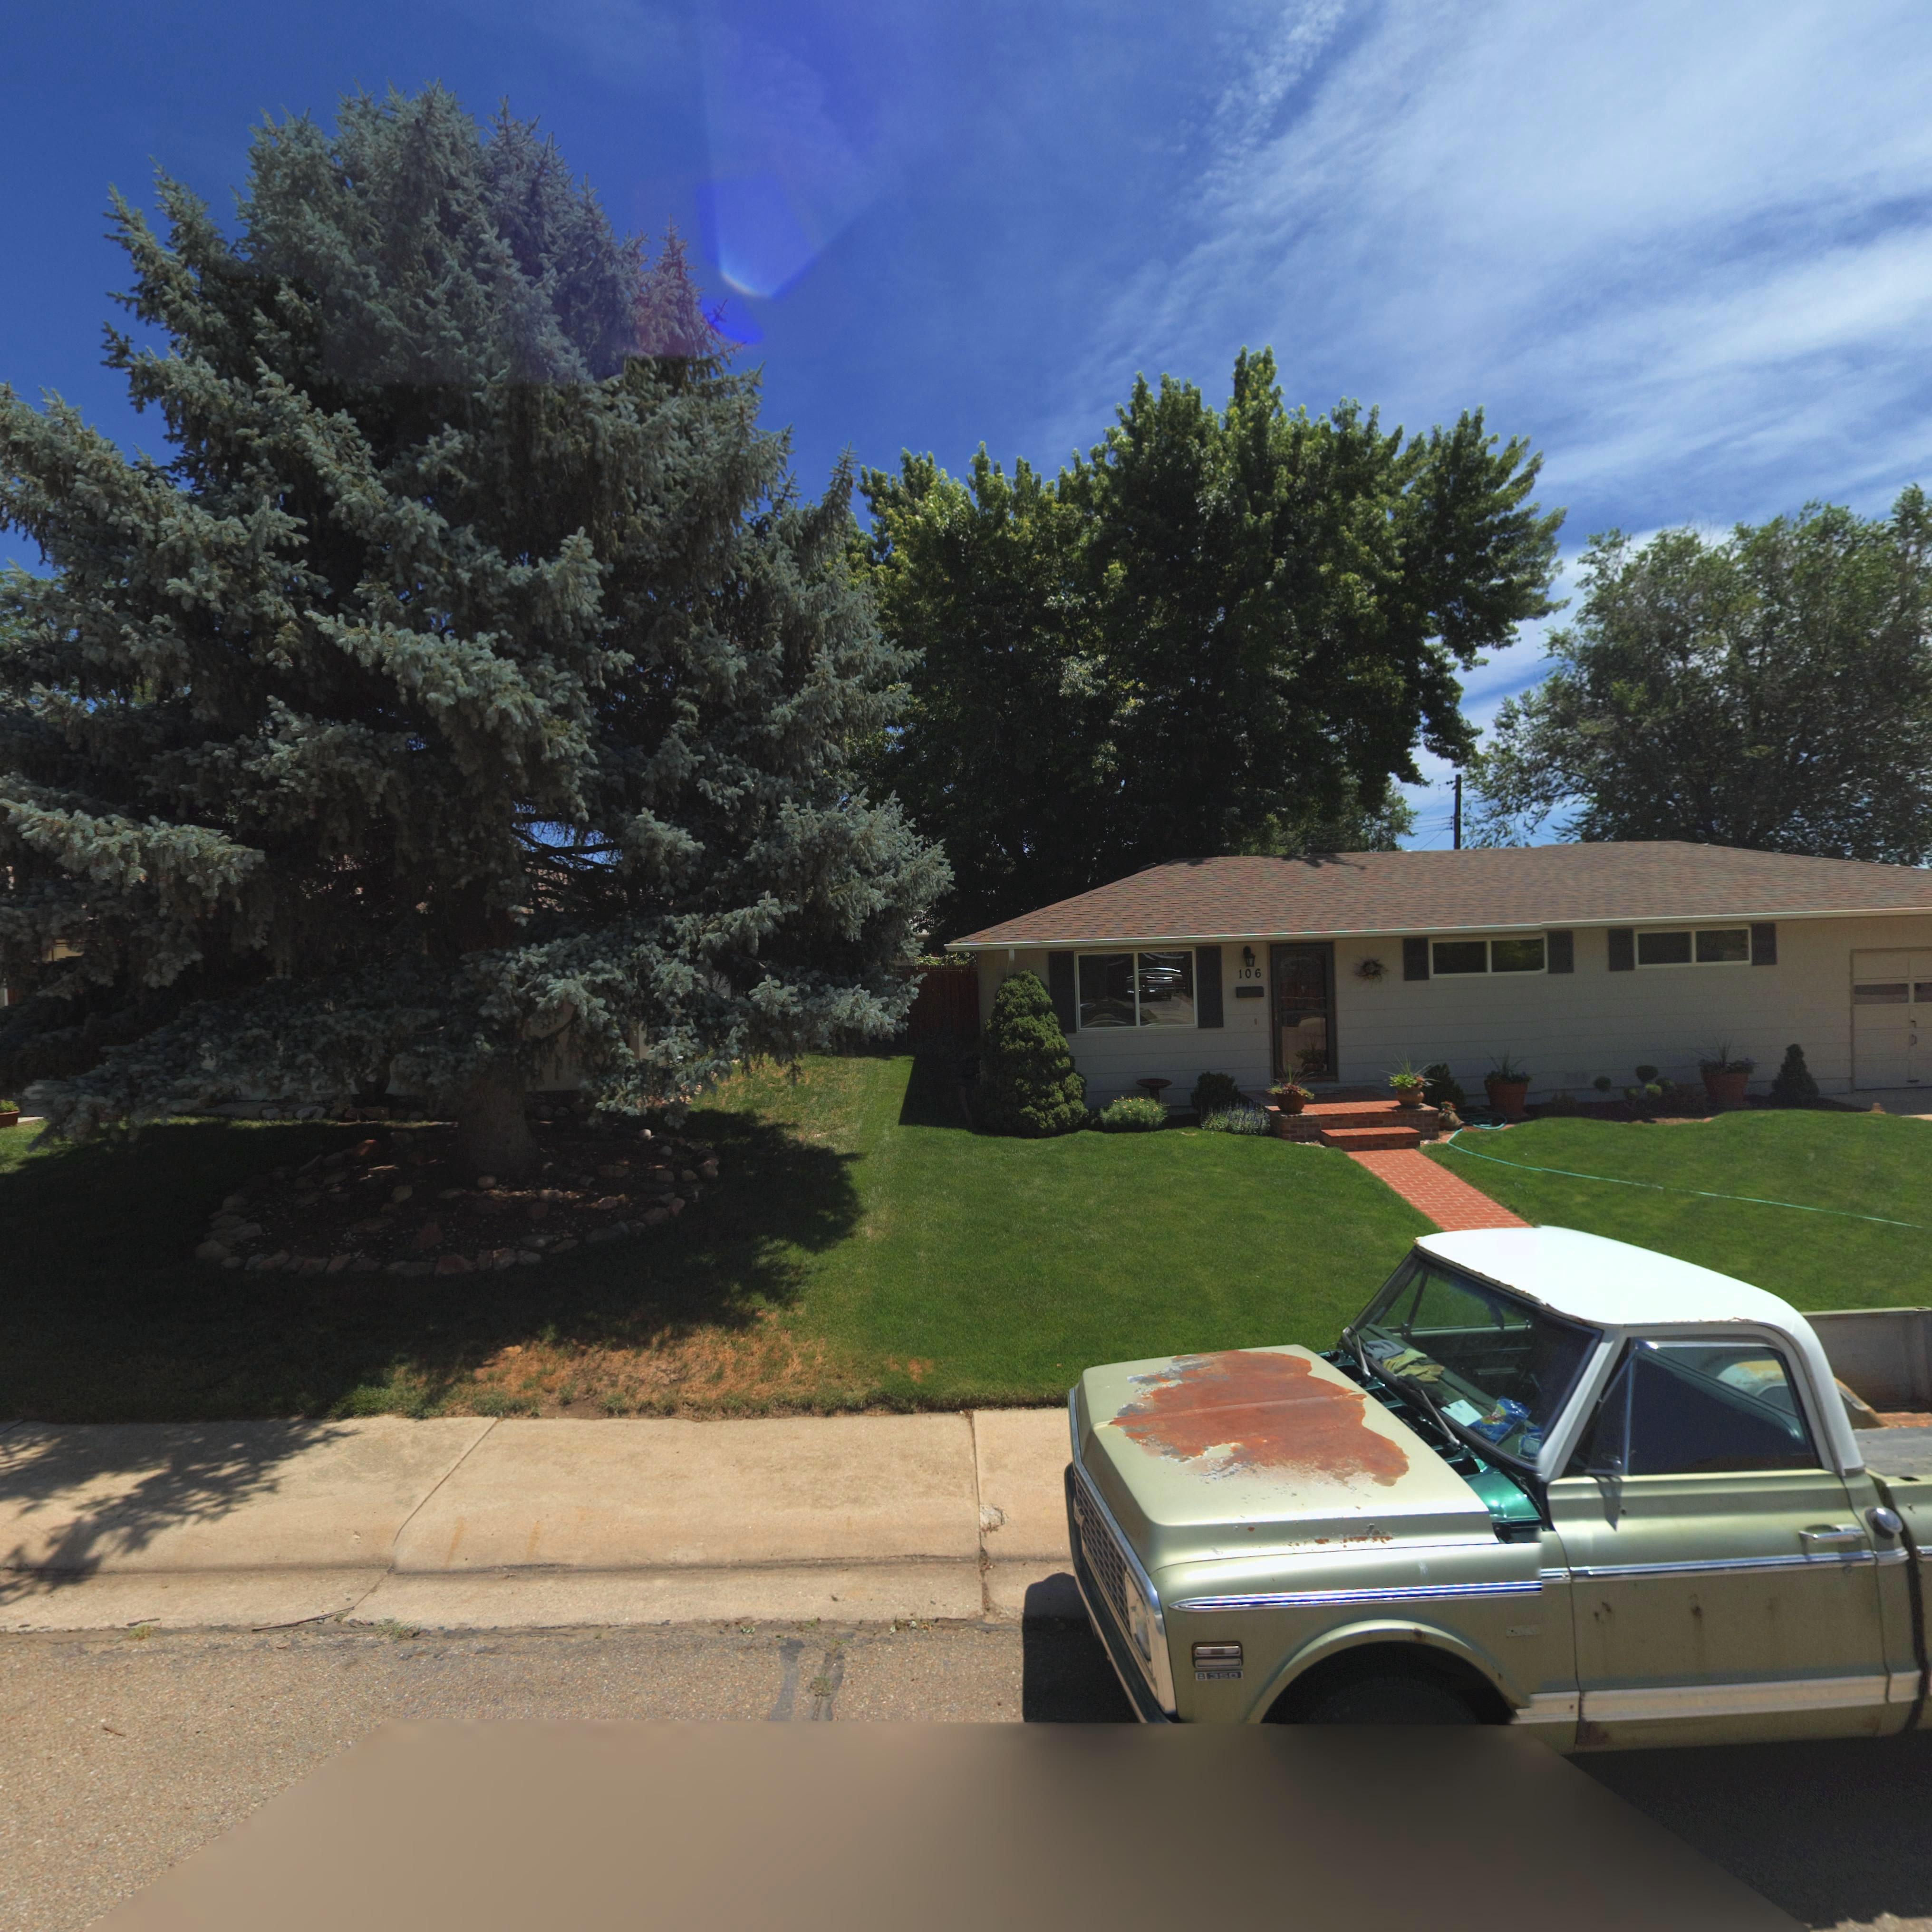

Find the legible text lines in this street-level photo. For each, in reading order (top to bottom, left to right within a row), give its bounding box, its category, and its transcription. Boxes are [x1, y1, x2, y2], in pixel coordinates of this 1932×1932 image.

[1238, 968, 1261, 979] StreetNumber: 106